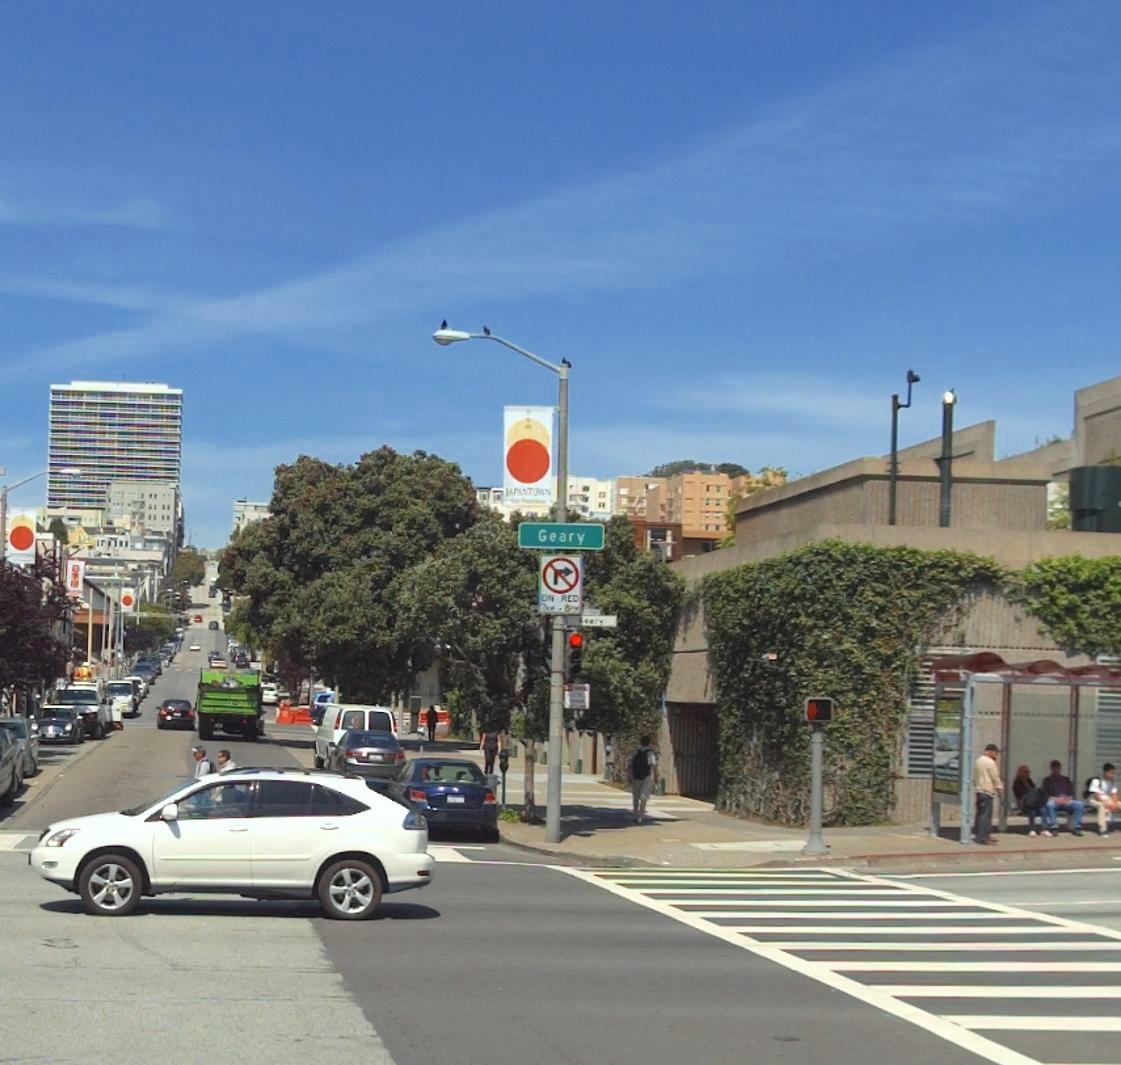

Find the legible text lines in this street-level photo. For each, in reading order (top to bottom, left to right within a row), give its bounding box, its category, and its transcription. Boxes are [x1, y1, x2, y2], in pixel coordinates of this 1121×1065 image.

[503, 485, 550, 497] None: JAPANTOWN
[536, 528, 587, 546] StreetName: Geary
[540, 591, 578, 602] None: ON RED
[577, 616, 603, 625] StreetName: Geary